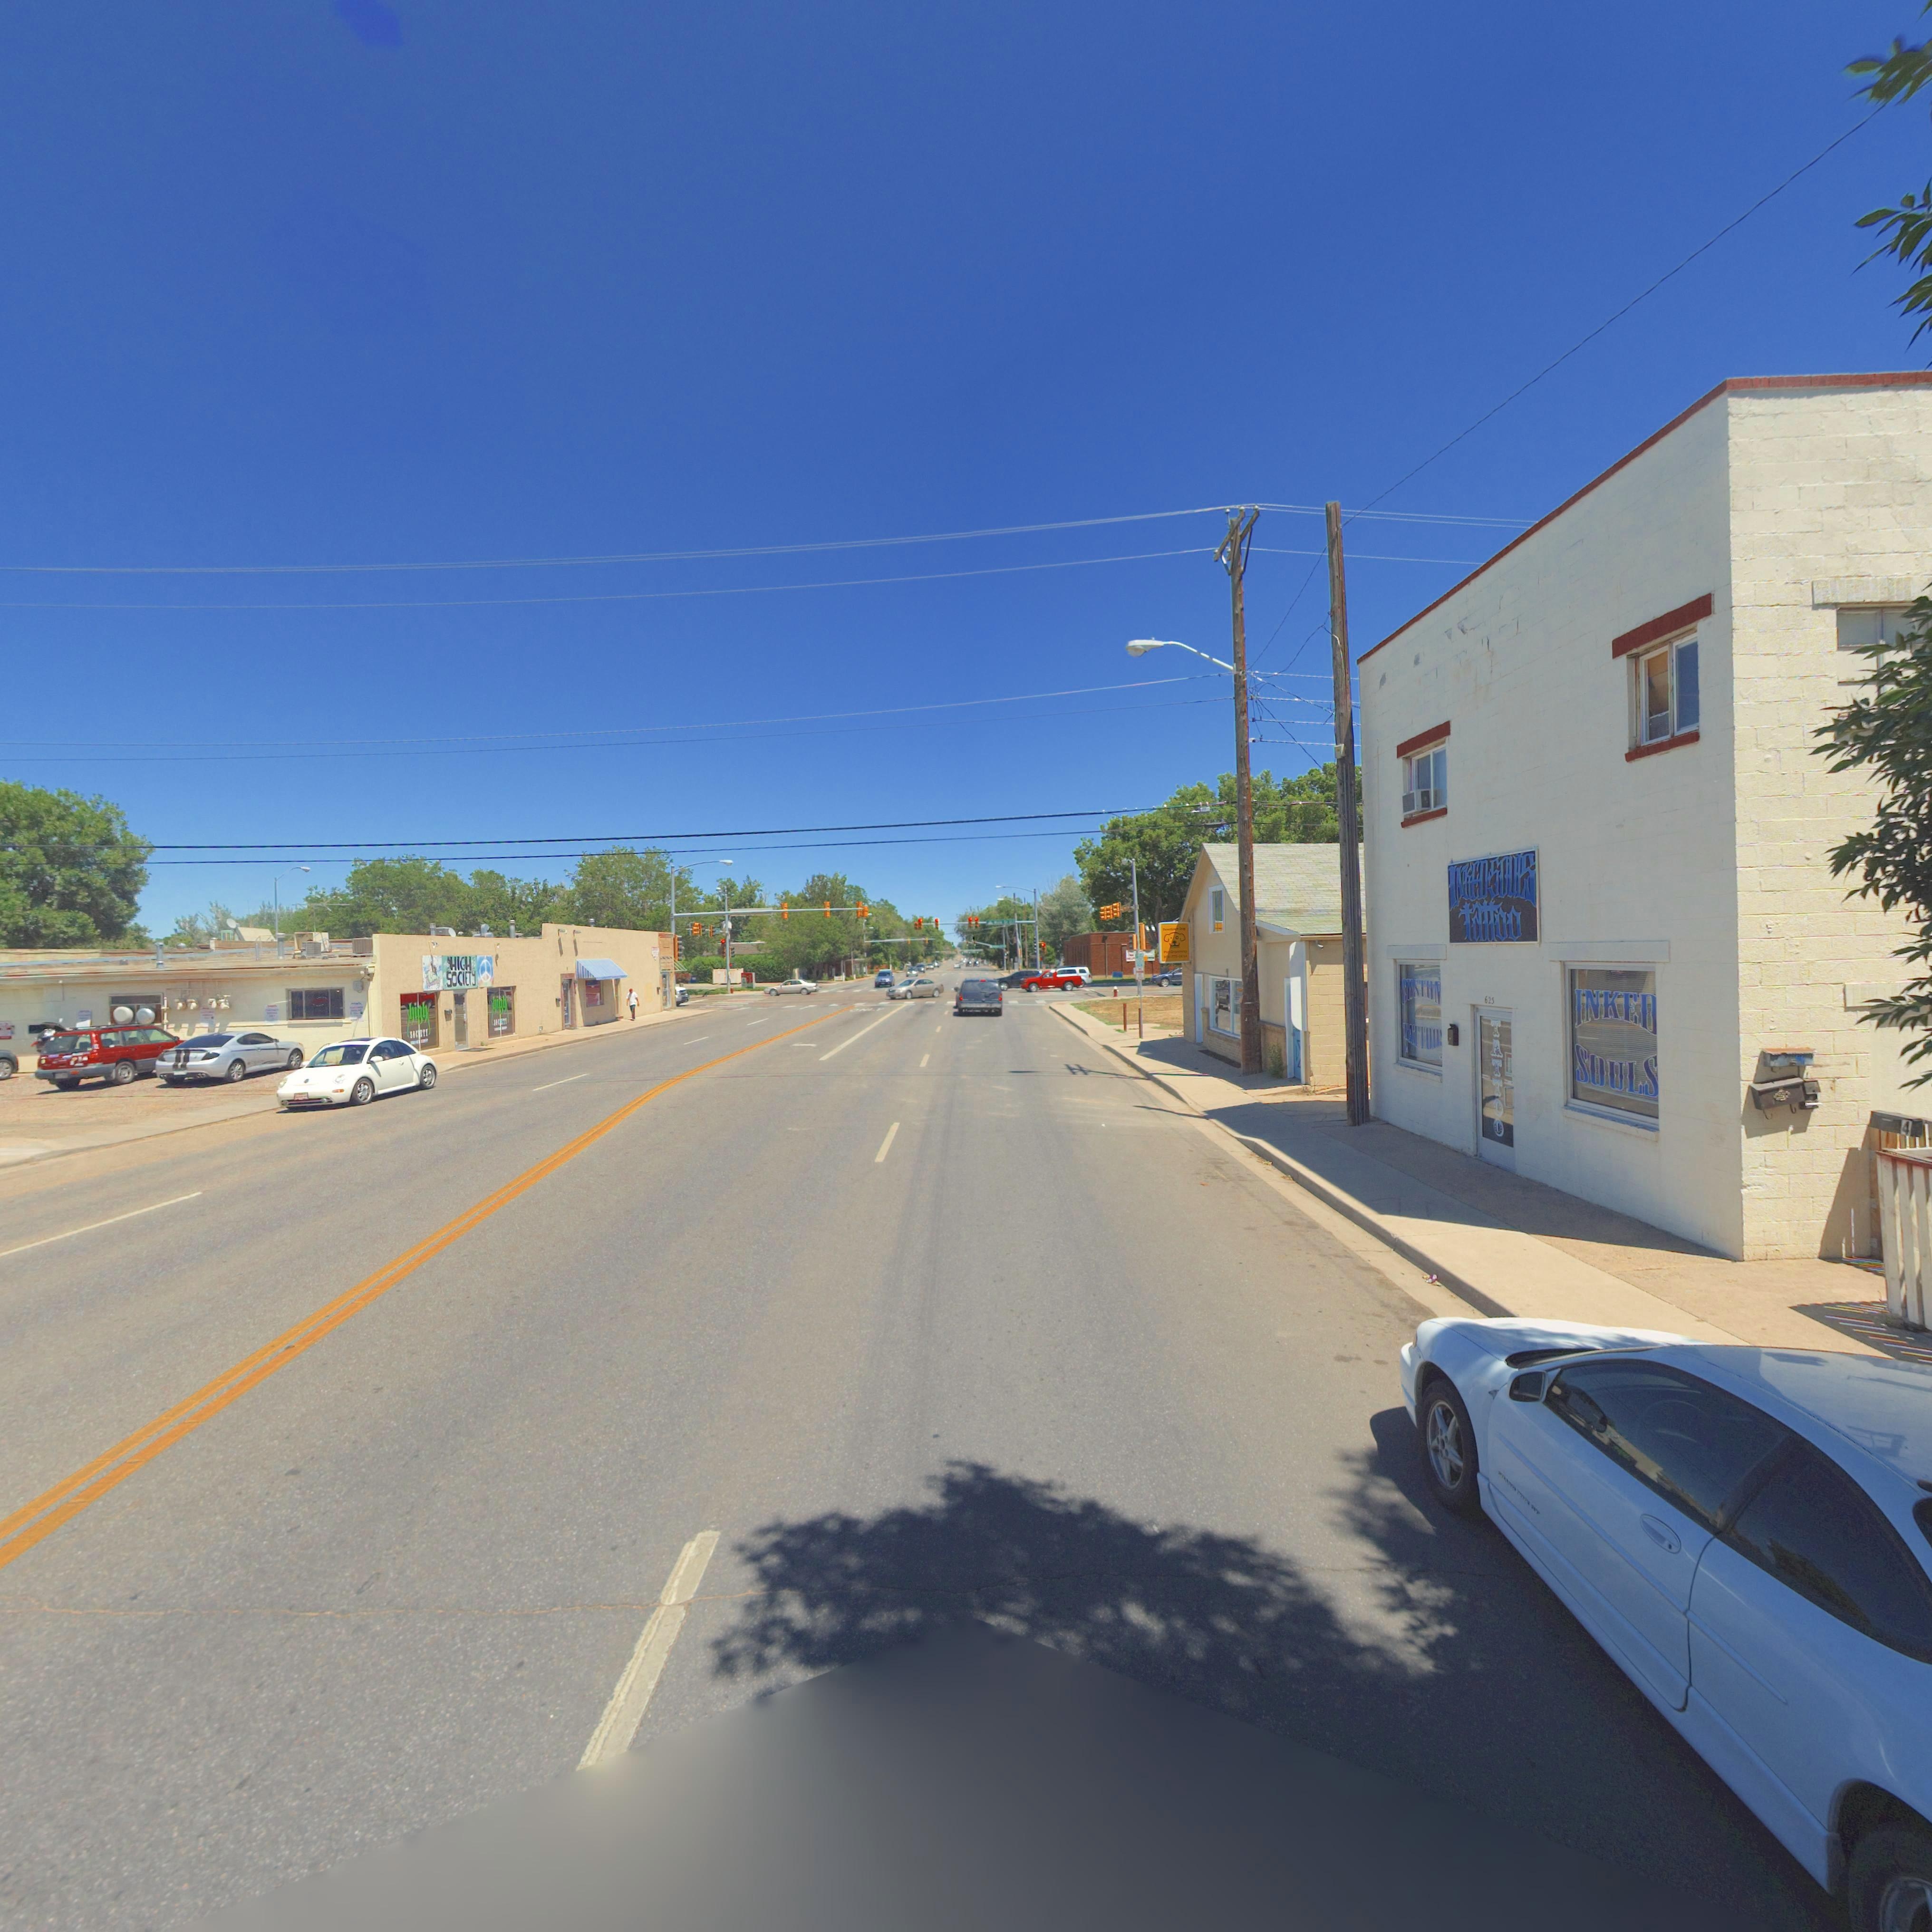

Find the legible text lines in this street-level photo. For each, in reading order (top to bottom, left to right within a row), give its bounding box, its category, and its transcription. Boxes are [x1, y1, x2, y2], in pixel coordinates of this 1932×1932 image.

[1448, 852, 1536, 912] BusinessName: INKEDSOULS
[1003, 919, 1008, 924] StreetName: S*
[1162, 927, 1186, 931] BusinessName: Downtown Dog
[1457, 898, 1523, 942] BusinessName: tattoo
[1163, 949, 1187, 954] BusinessName: Pet Grooming
[449, 955, 472, 971] BusinessName: HIGH
[446, 970, 476, 988] BusinessName: SOCIETY
[408, 1001, 427, 1024] BusinessName: high
[492, 995, 507, 1014] BusinessName: hig*
[1484, 995, 1495, 1005] StreetNumber: 625
[1574, 987, 1657, 1036] BusinessName: INKED
[493, 1017, 507, 1026] BusinessName: SOC**T*
[409, 1028, 429, 1039] BusinessName: SOC**T*
[1489, 1018, 1504, 1137] BusinessName: TATTOO
[1574, 1043, 1659, 1098] BusinessName: SOULS